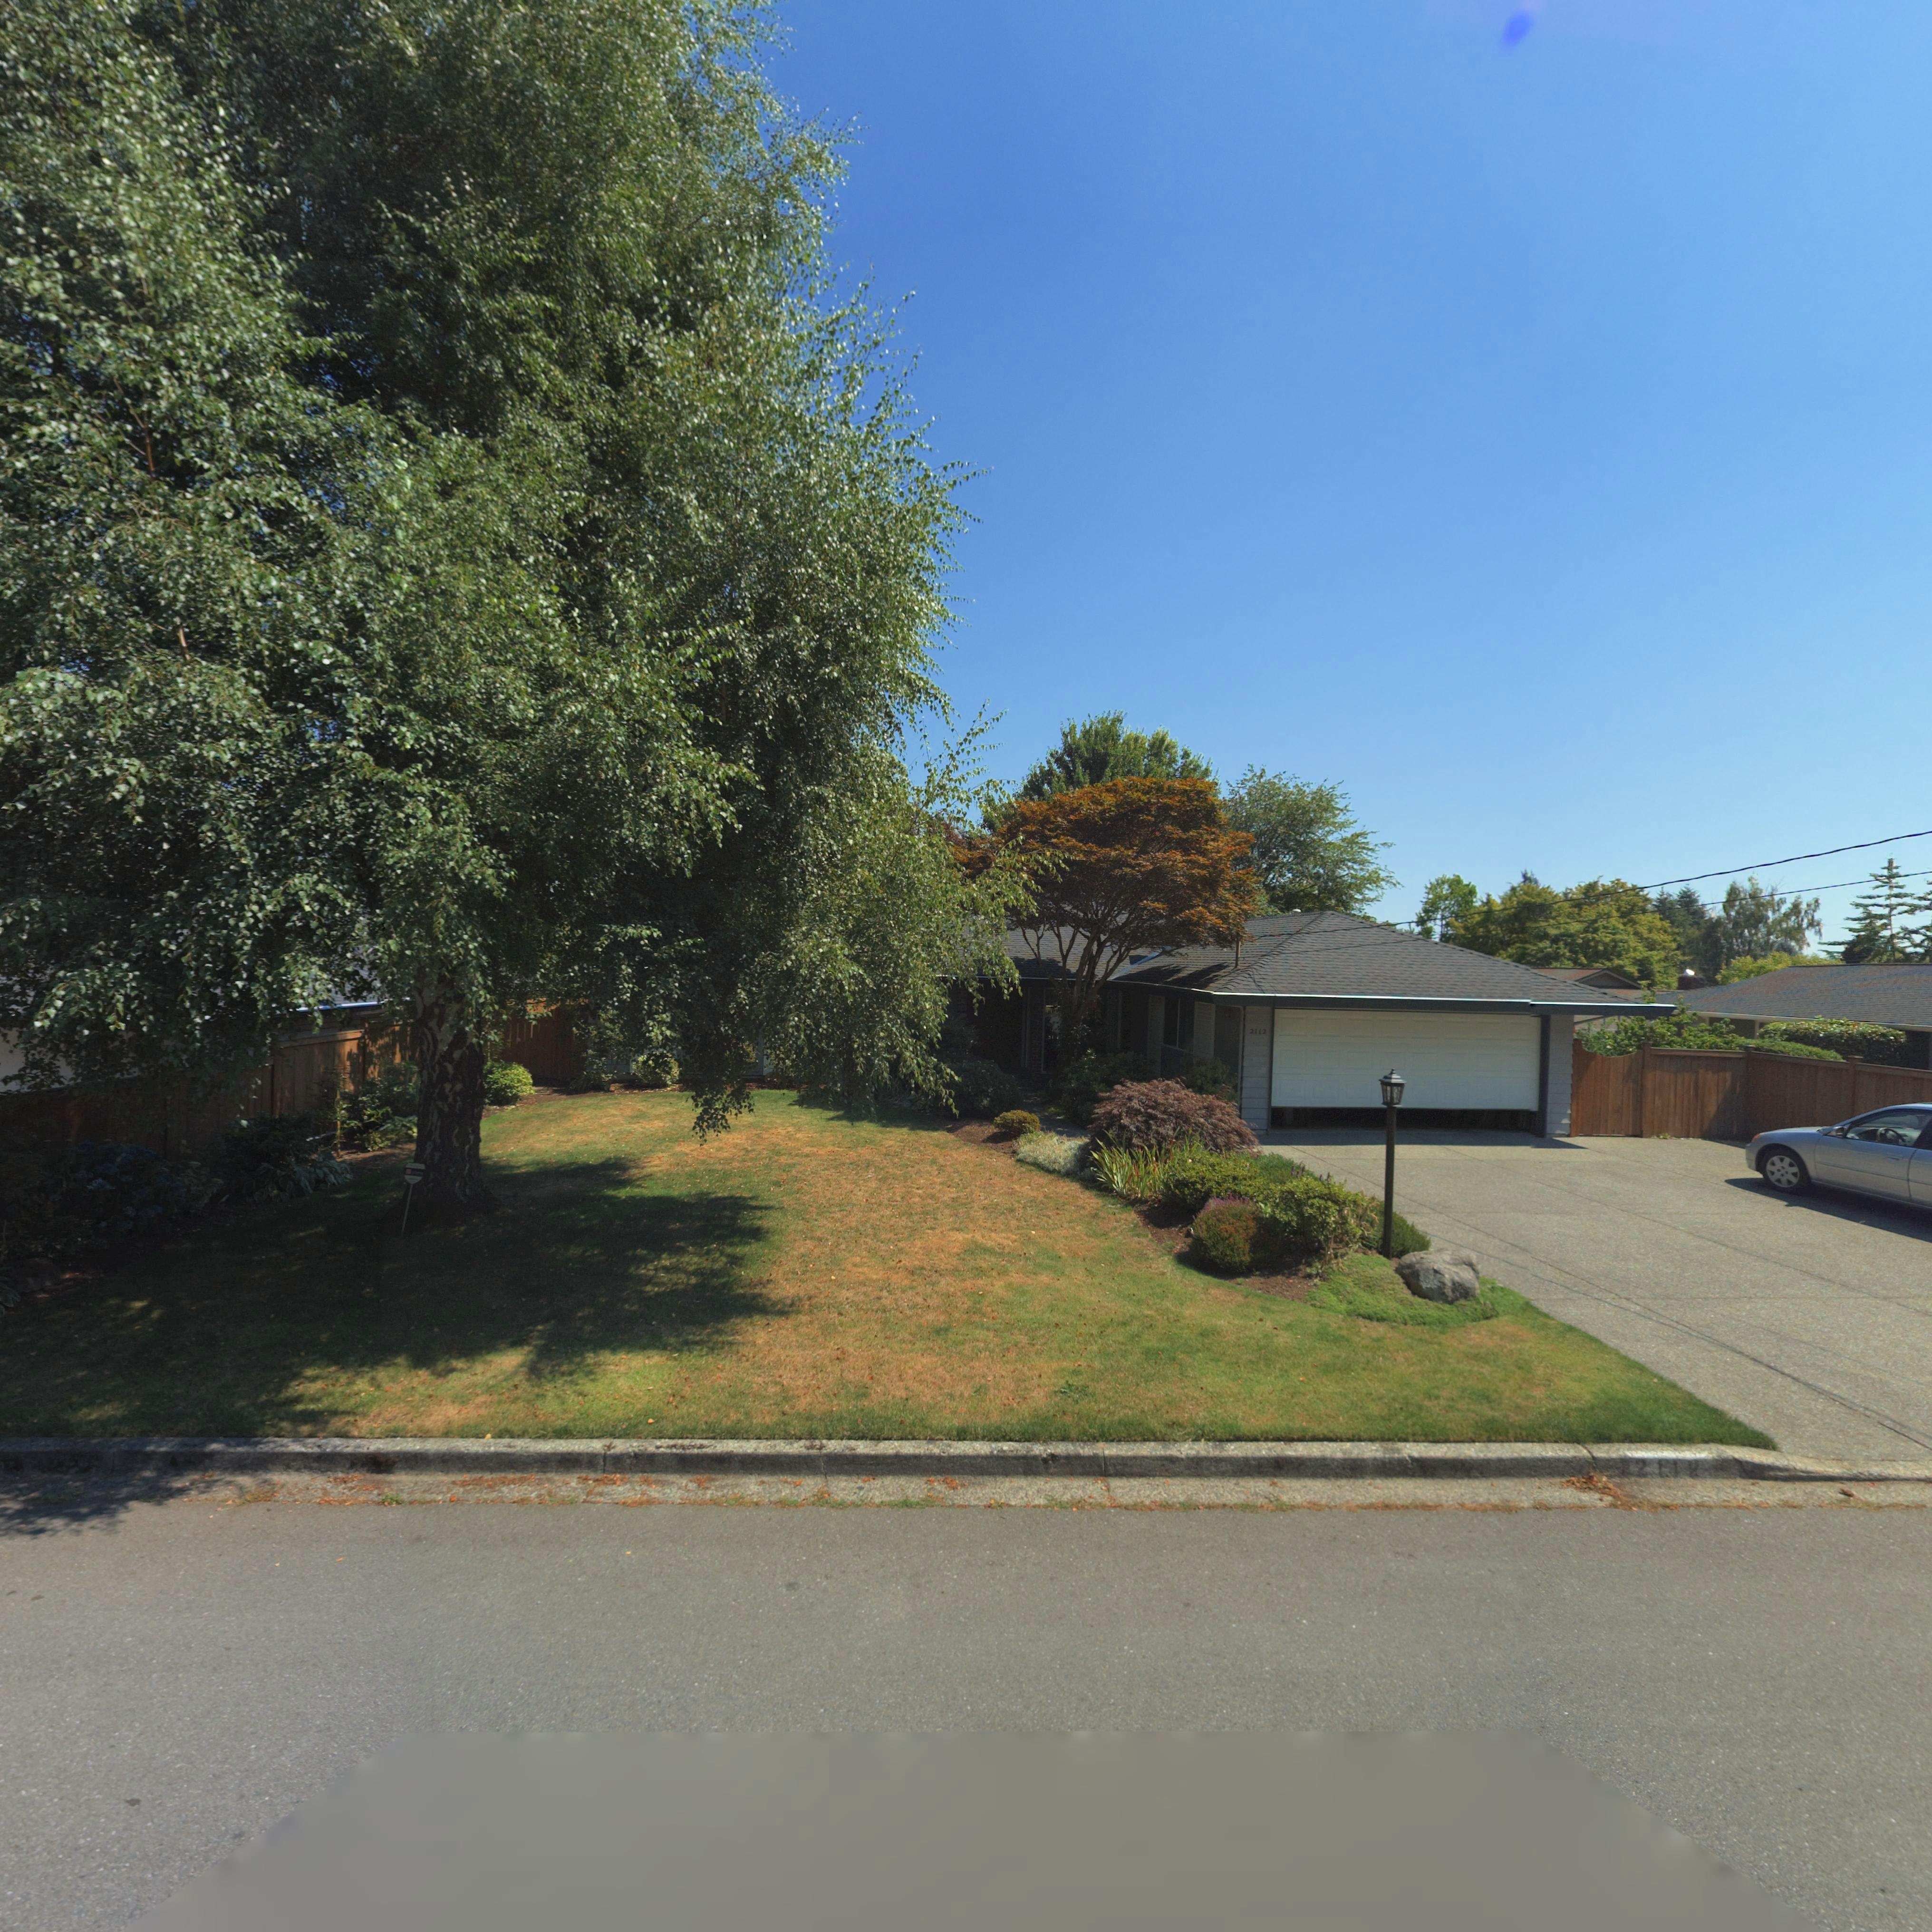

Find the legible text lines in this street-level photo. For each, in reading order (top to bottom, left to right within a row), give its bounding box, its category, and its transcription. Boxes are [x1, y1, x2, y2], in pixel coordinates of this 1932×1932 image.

[1250, 1029, 1266, 1034] StreetNumber: 2112